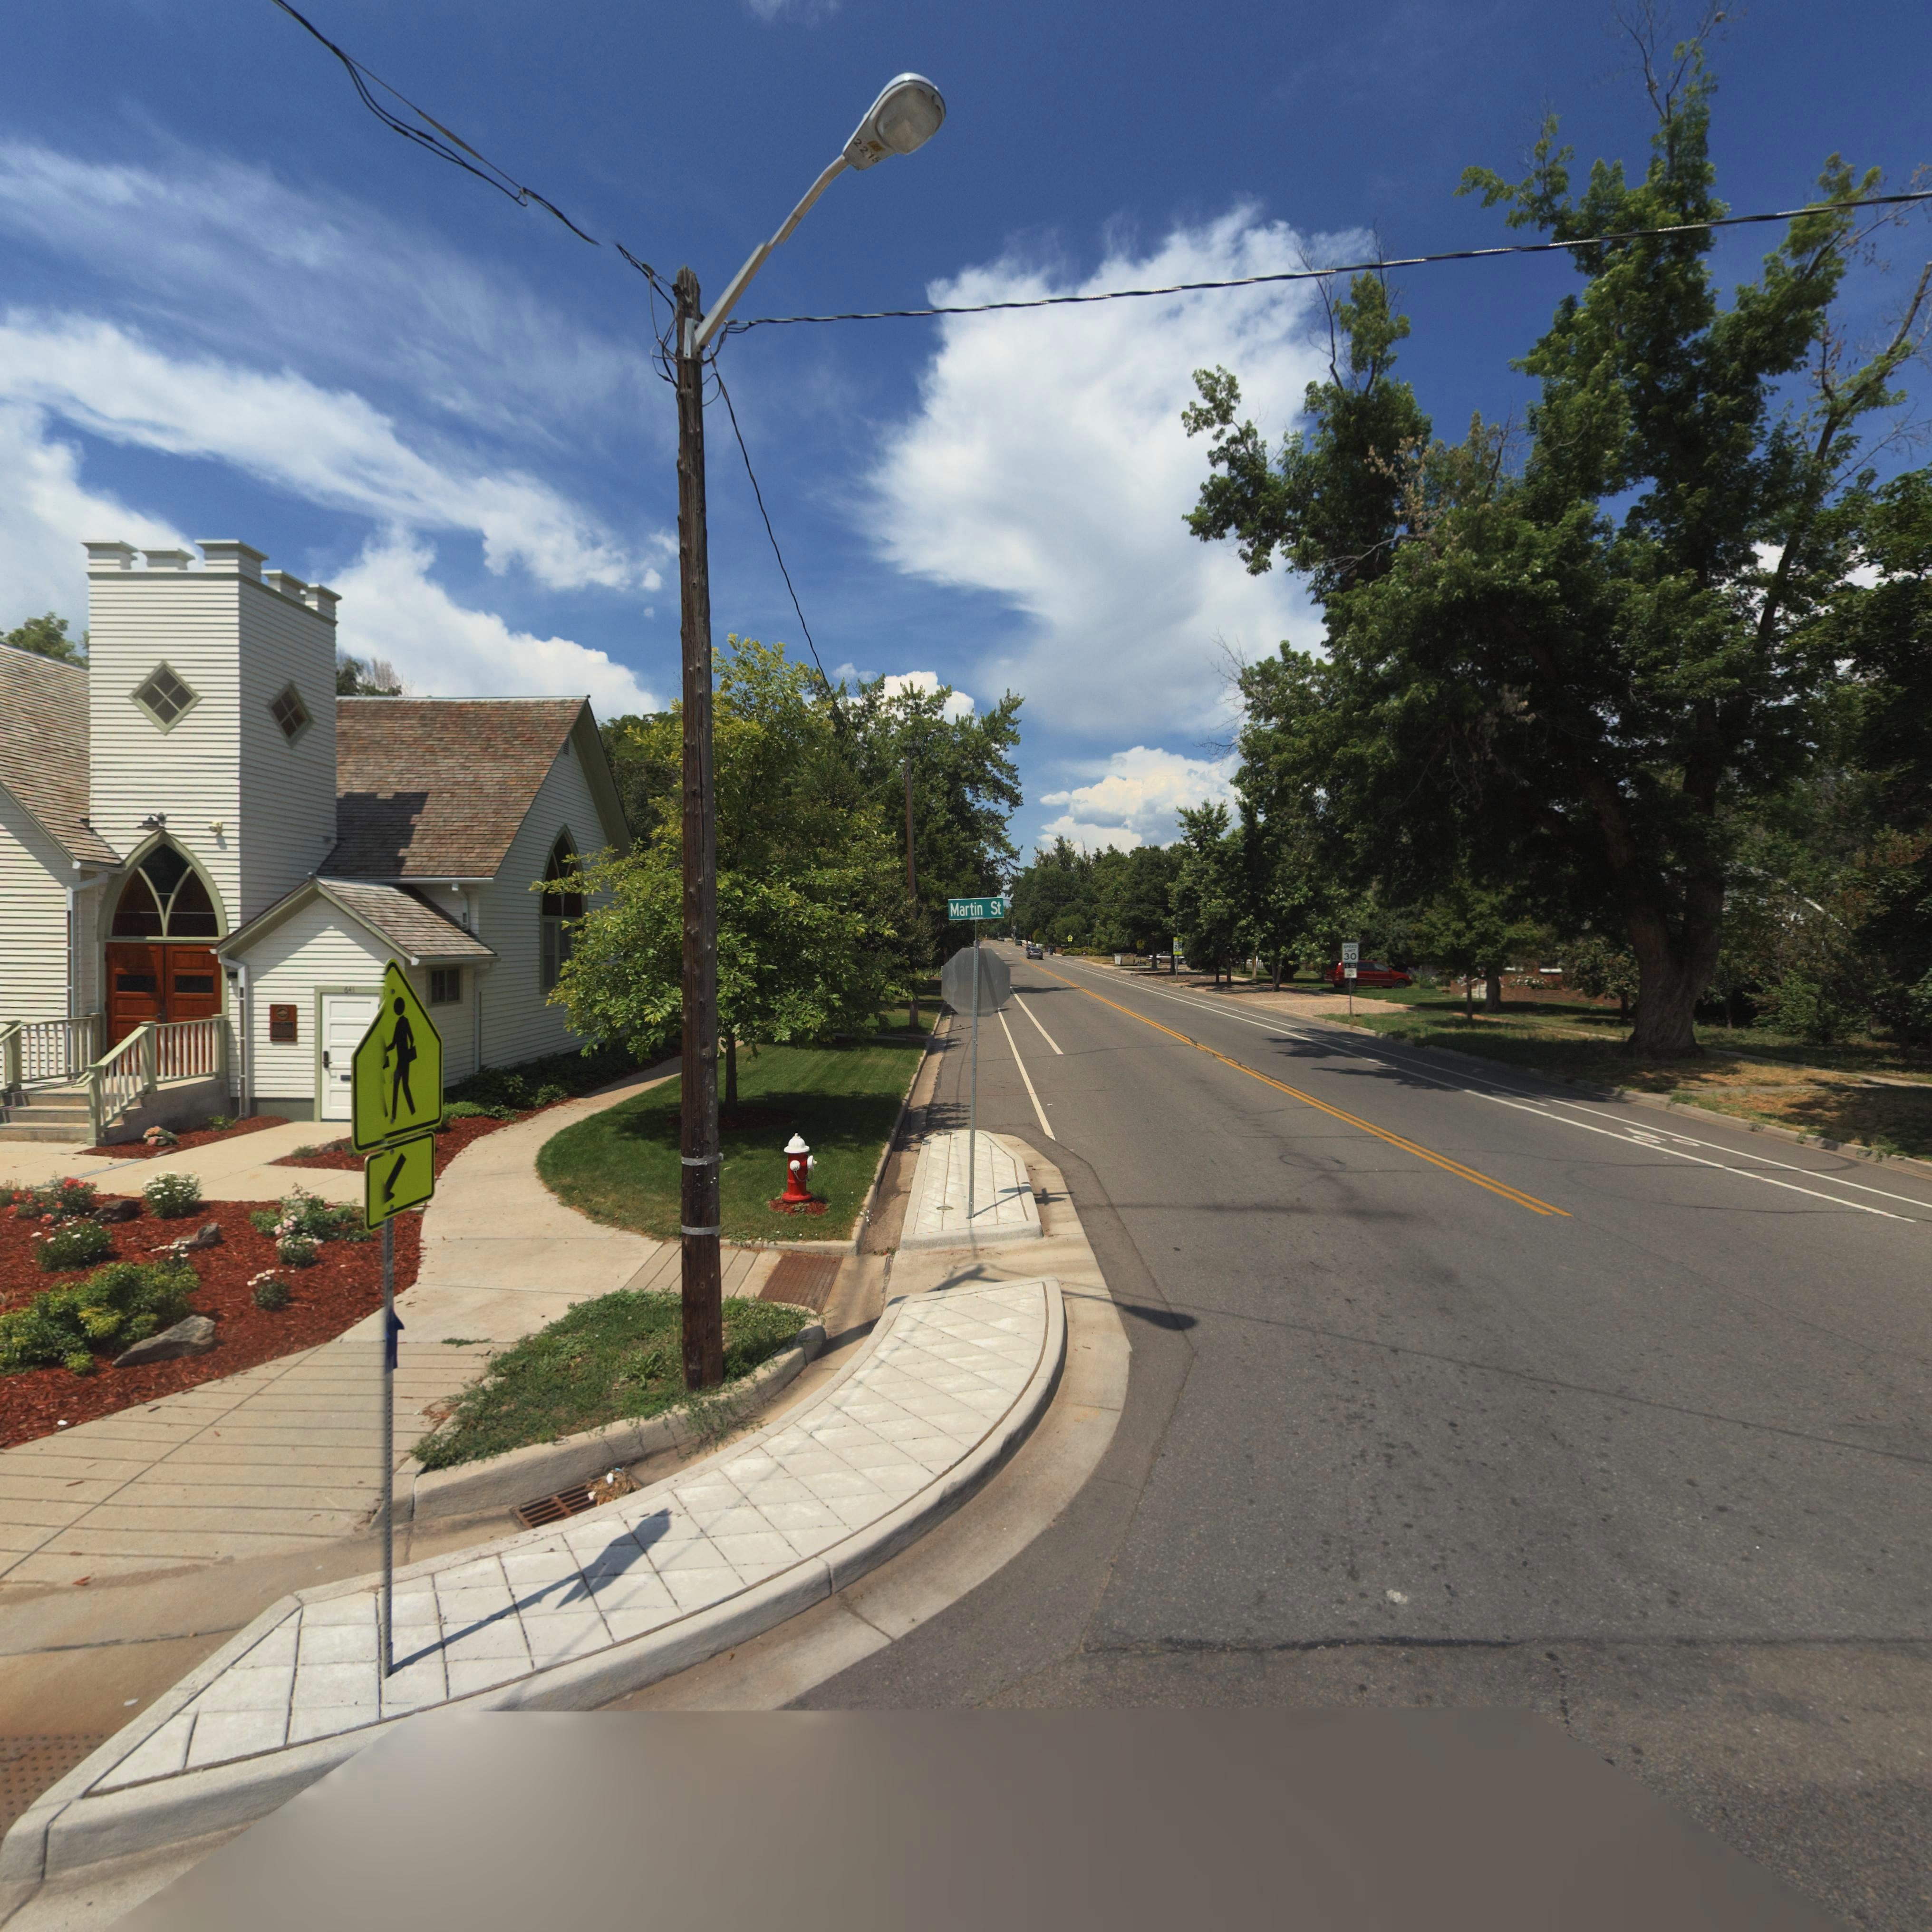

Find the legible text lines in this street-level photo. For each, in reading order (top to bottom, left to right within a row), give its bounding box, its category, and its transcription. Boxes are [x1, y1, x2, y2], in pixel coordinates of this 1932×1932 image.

[949, 900, 1002, 917] StreetName: Martin St
[343, 986, 354, 993] StreetNumber: 641